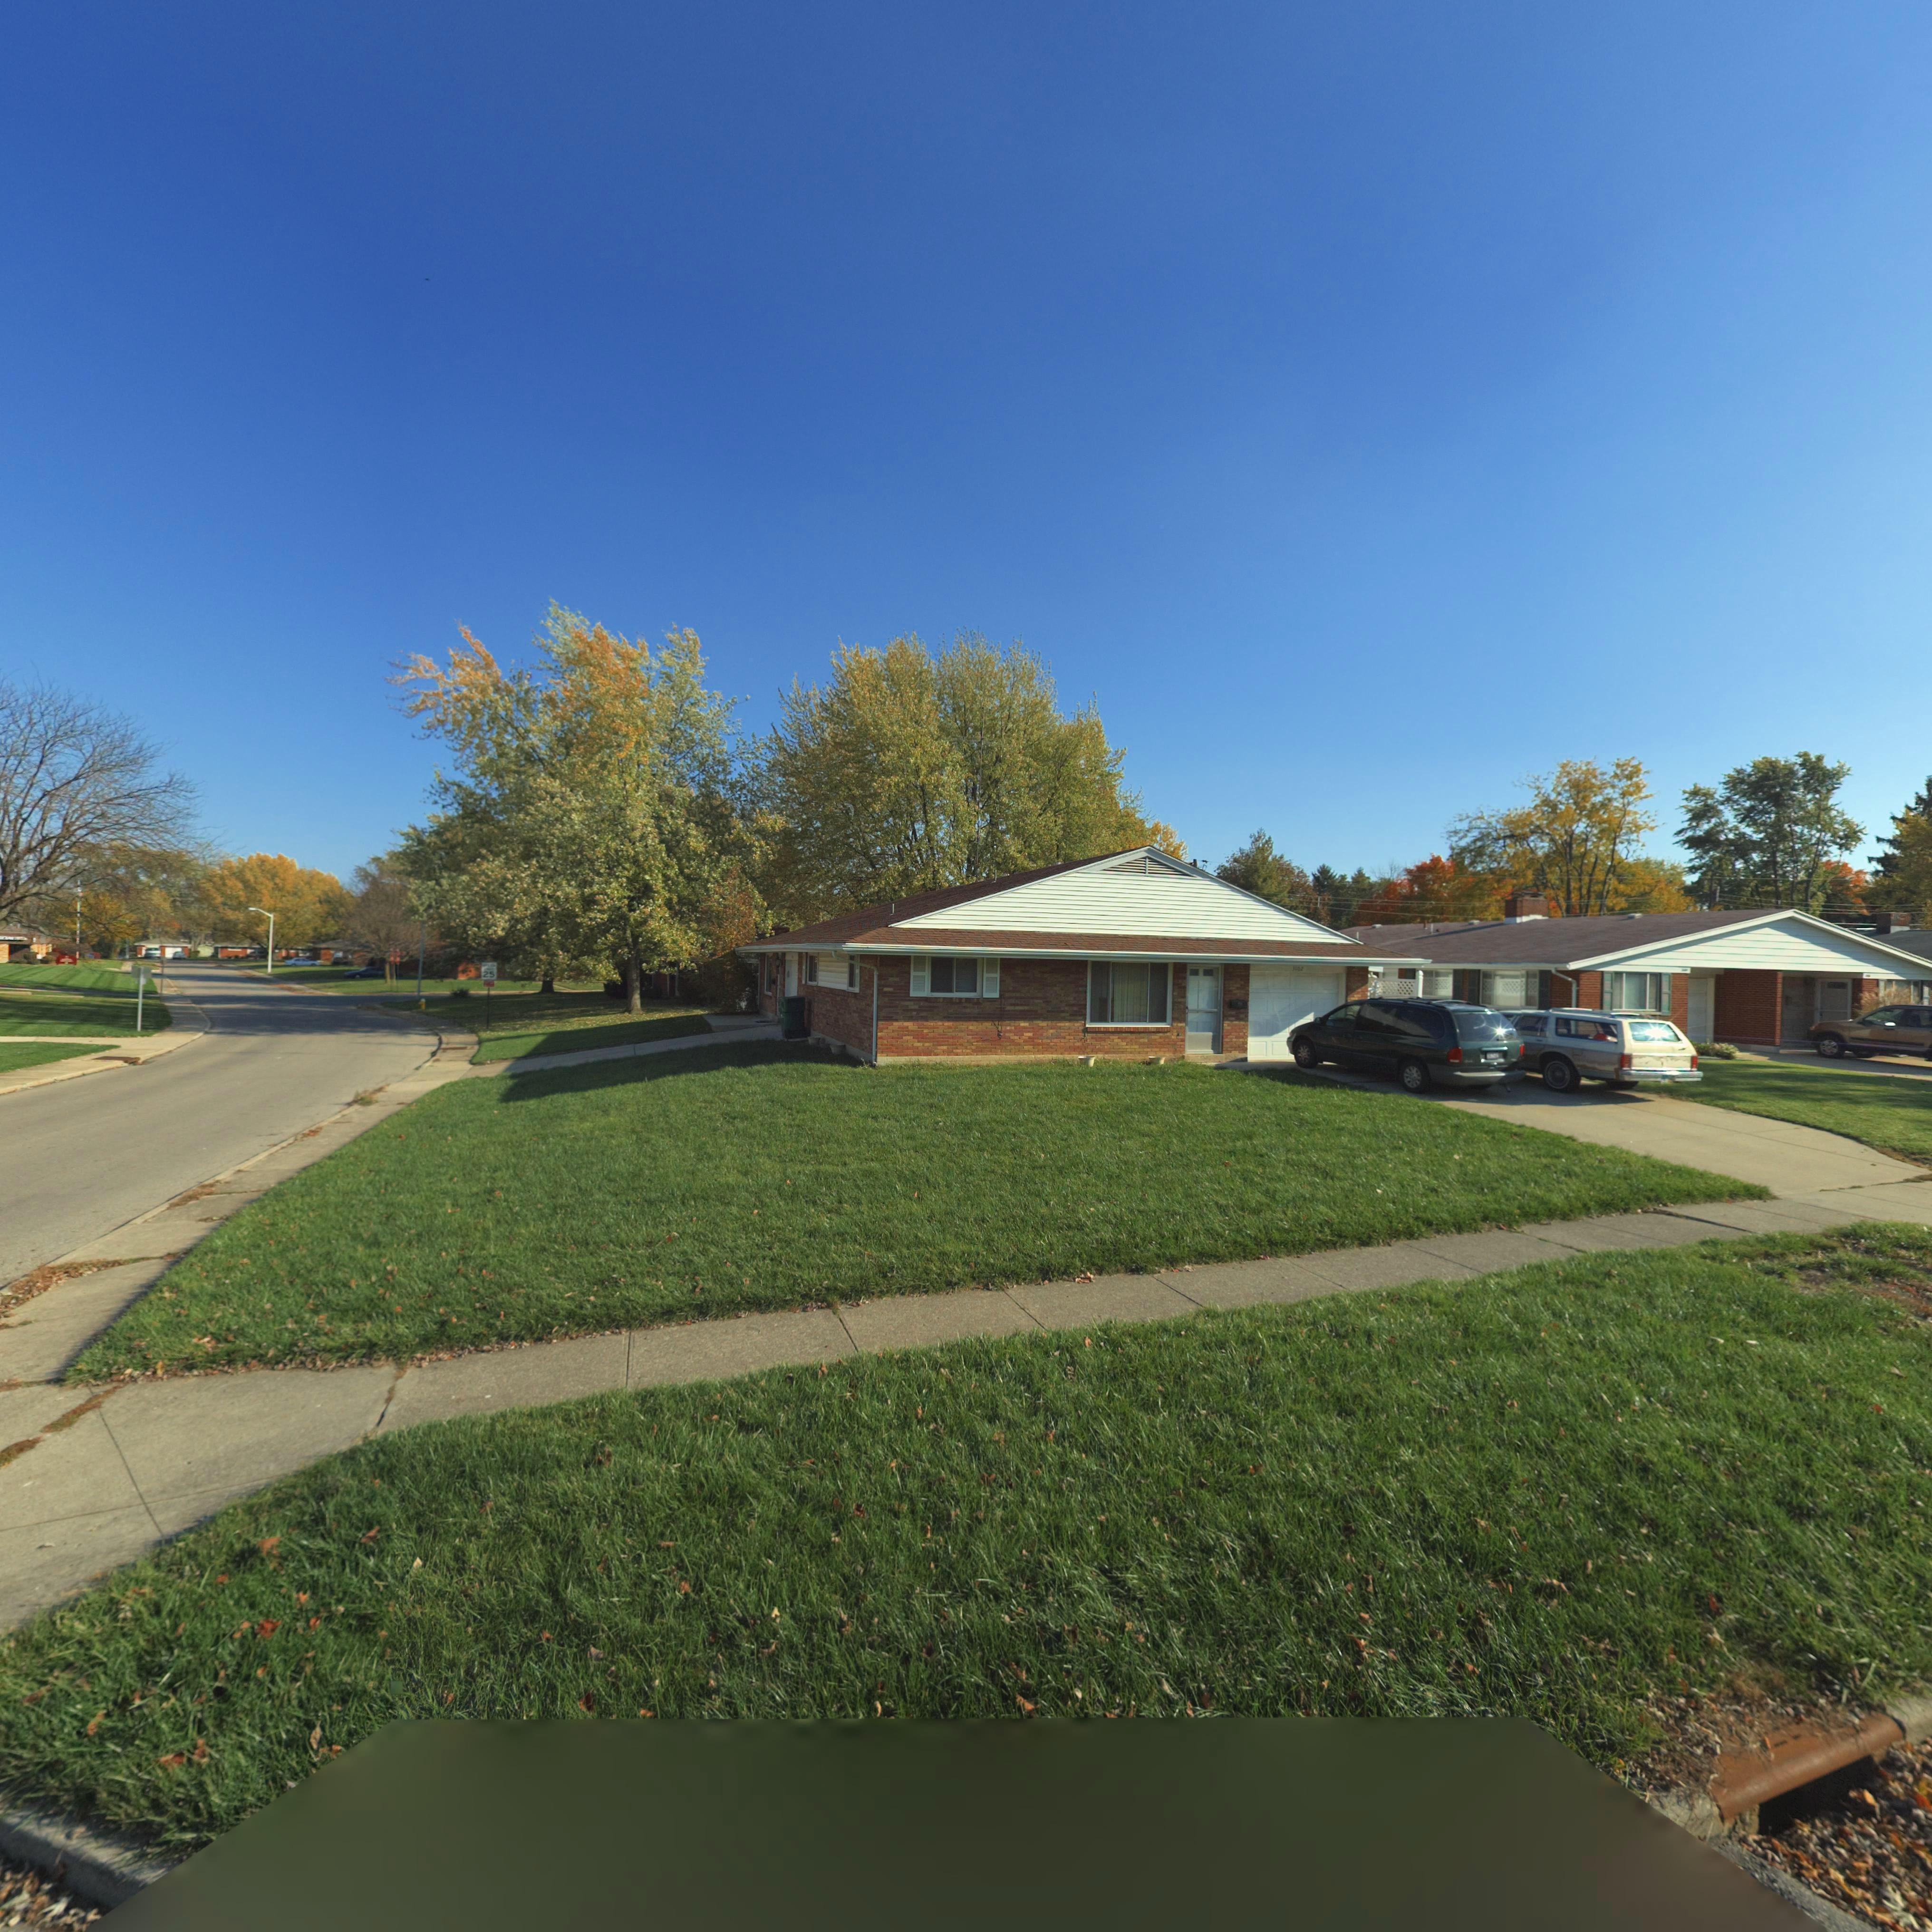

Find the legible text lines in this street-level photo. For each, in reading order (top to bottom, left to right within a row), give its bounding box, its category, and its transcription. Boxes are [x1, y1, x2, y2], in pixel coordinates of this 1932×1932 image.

[1292, 966, 1303, 971] StreetNumber: 3102